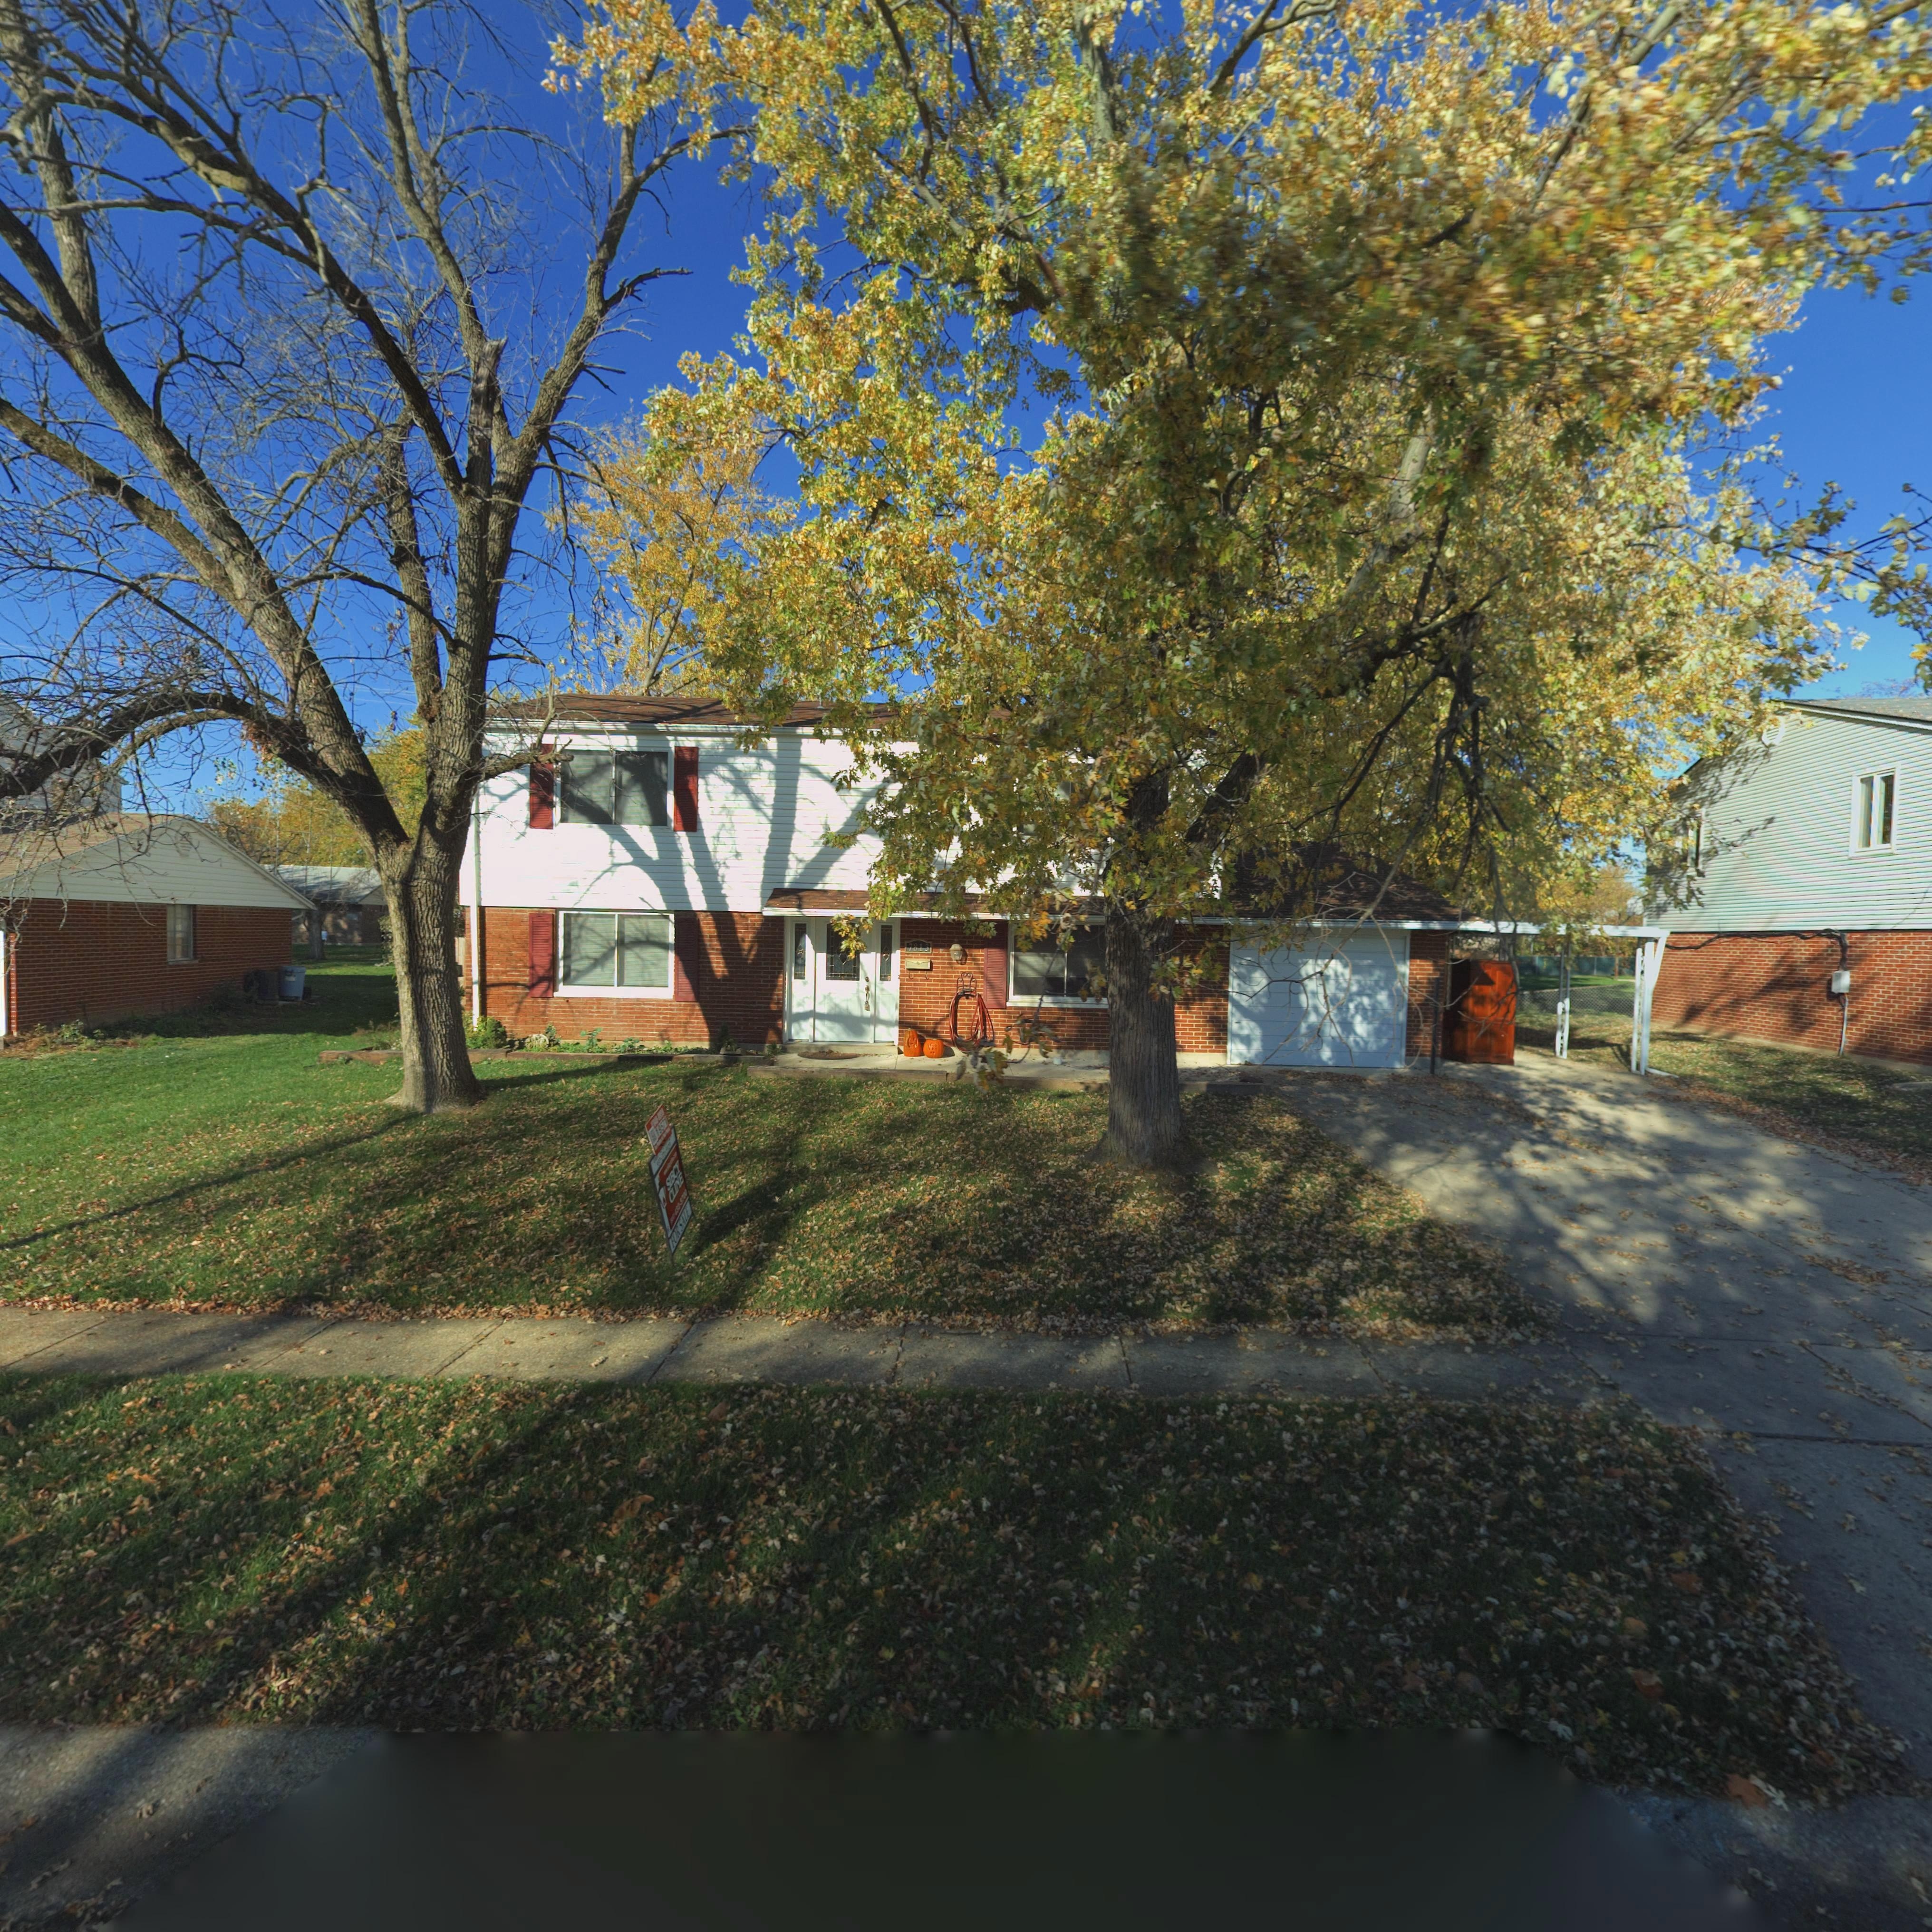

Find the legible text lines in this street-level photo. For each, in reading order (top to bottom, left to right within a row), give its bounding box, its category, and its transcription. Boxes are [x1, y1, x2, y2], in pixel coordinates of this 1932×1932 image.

[908, 942, 930, 953] StreetNumber: 7813